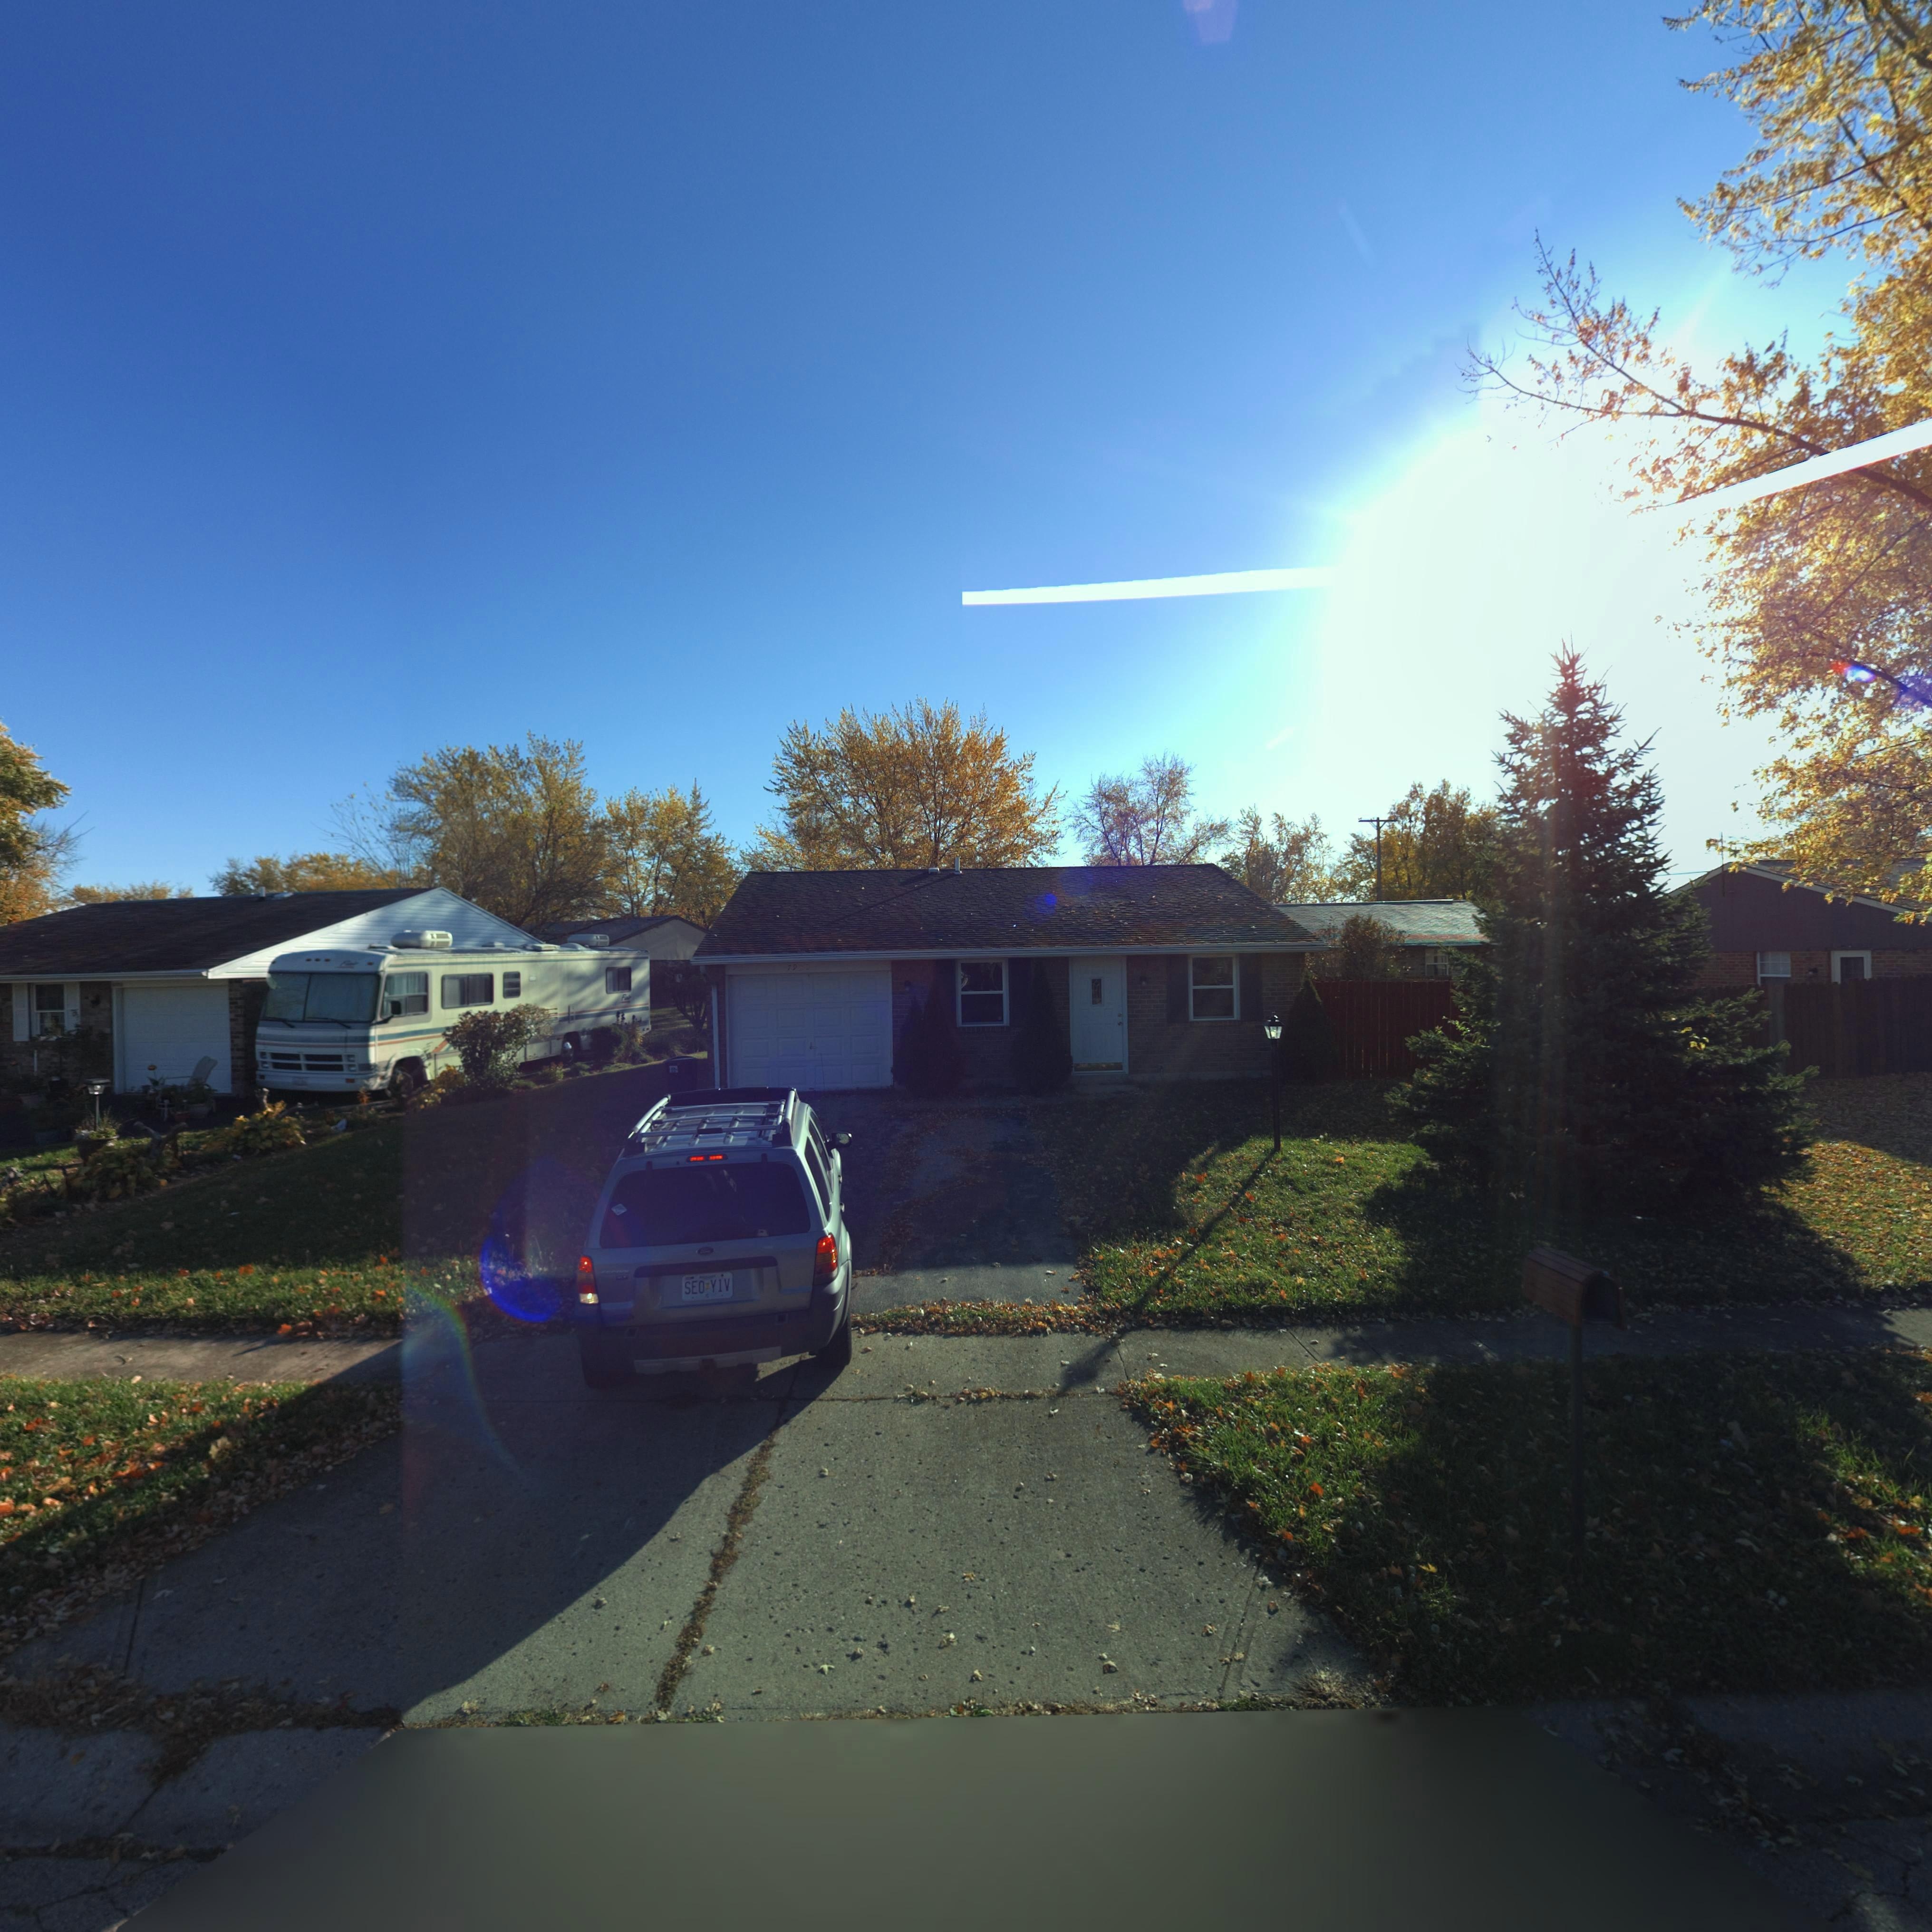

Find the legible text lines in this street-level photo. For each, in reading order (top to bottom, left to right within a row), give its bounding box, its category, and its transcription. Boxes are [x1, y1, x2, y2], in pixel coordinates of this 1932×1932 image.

[785, 963, 811, 972] StreetNumber: 79**
[682, 1276, 731, 1296] None: SEO YIV